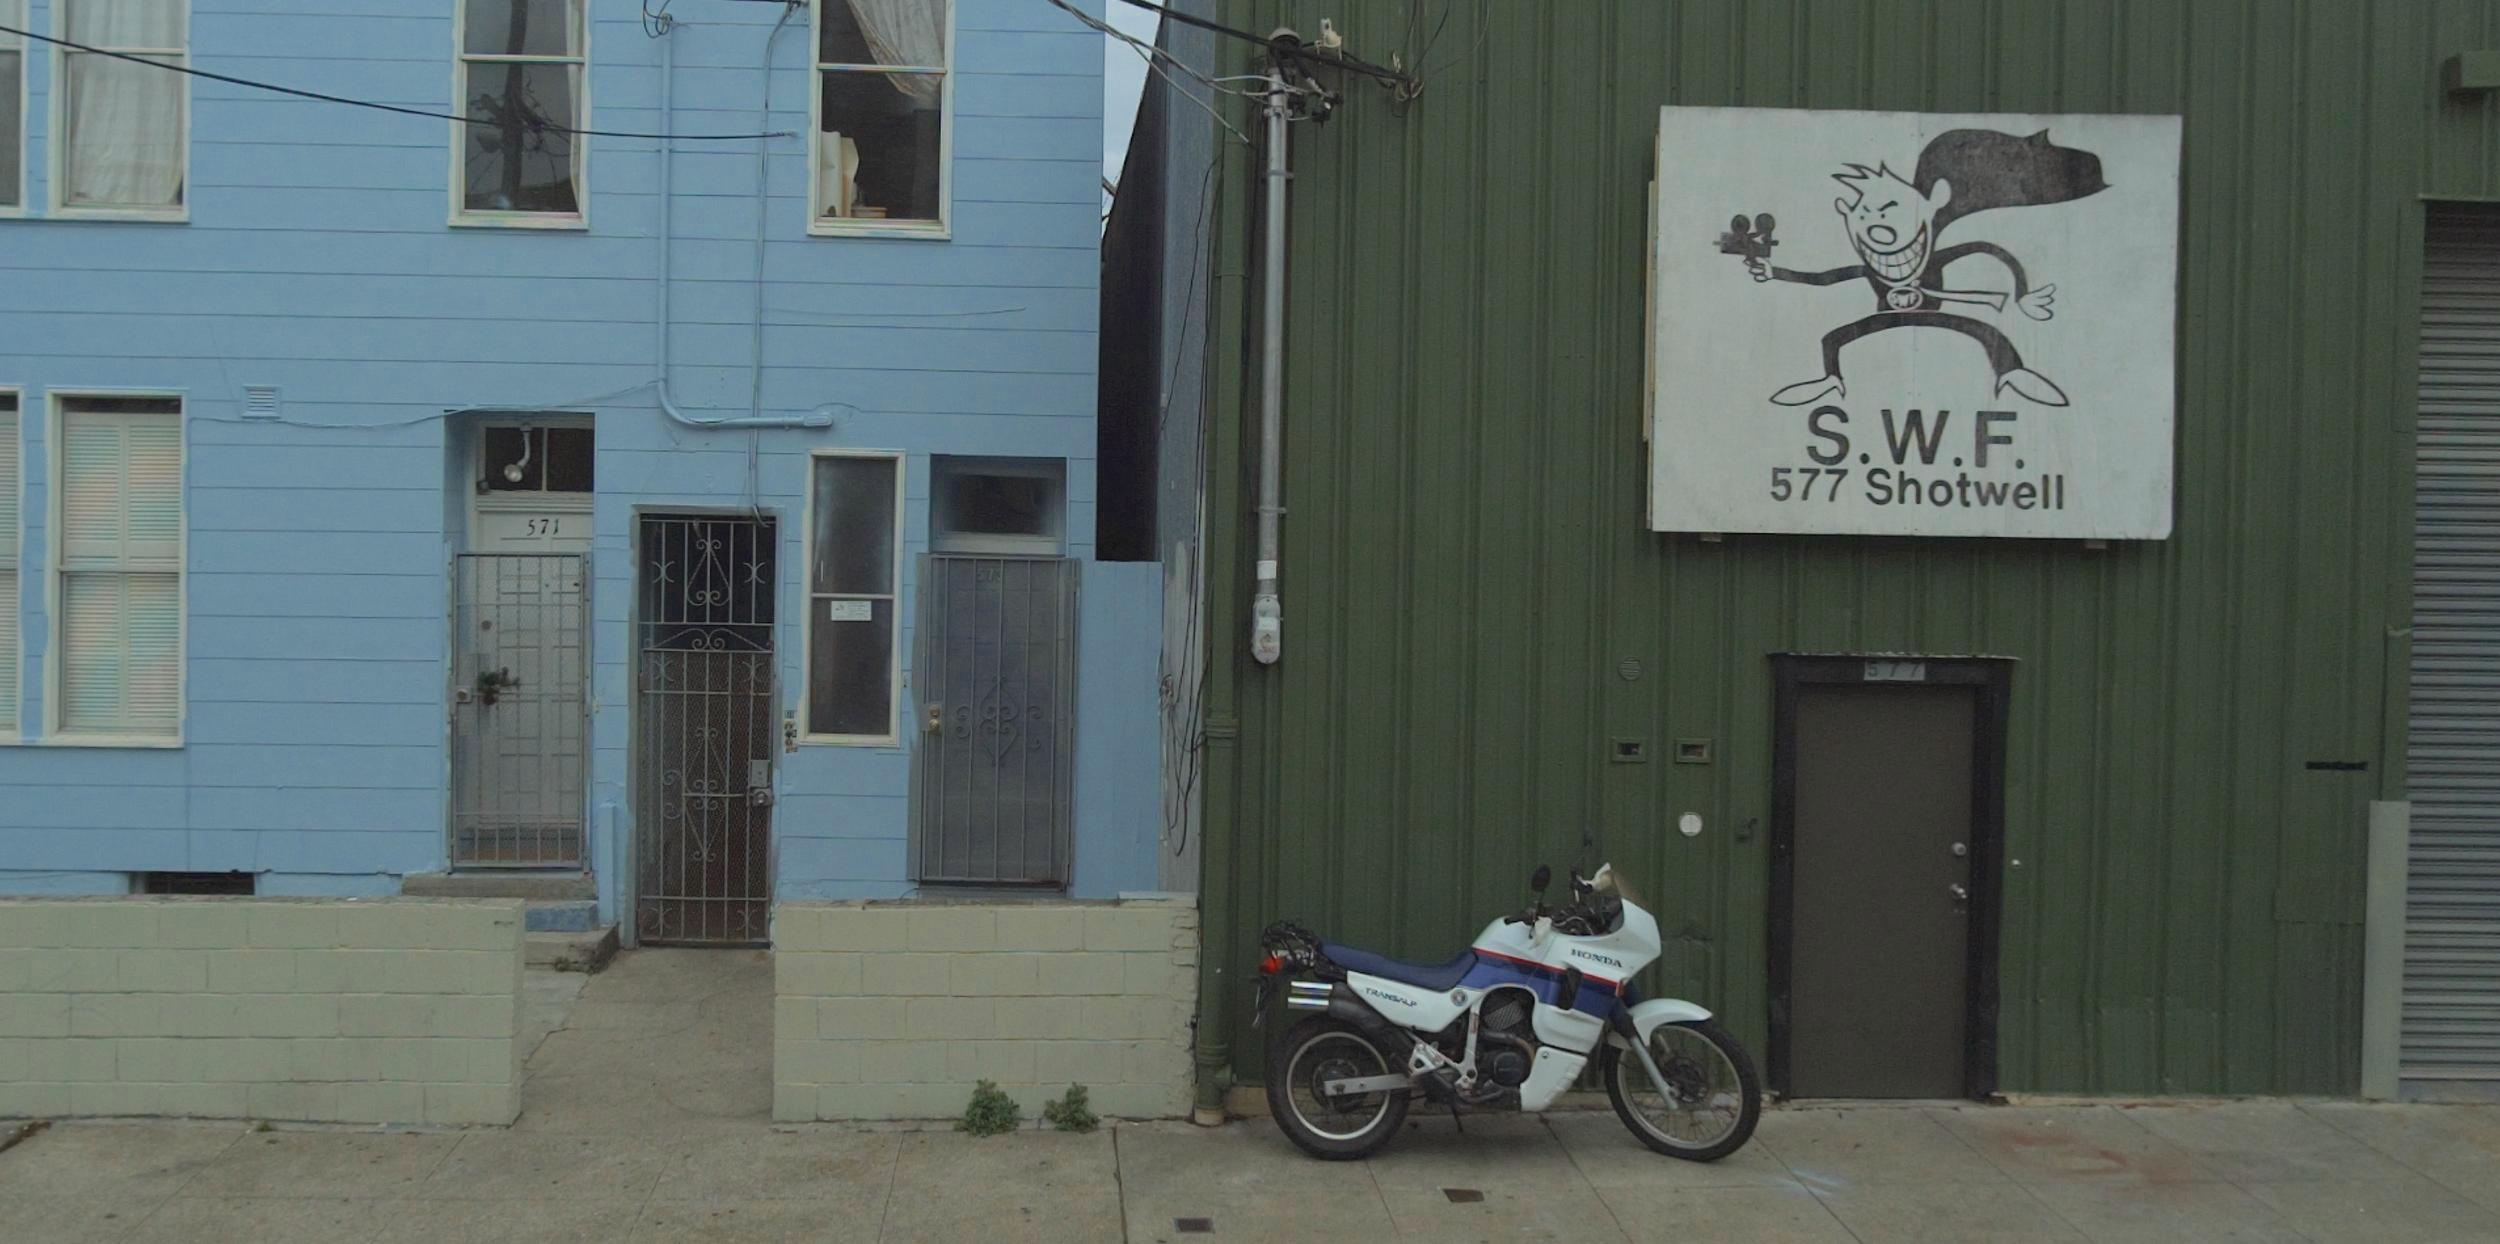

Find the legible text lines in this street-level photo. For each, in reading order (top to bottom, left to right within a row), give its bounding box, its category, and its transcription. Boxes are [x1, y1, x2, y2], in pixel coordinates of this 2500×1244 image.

[1806, 404, 2027, 472] BusinessName: S.W.F.
[1767, 465, 1851, 506] StreetNumber: 577
[1864, 467, 2067, 512] StreetName: Shotwell
[525, 517, 561, 537] StreetNumber: 571
[975, 566, 1004, 583] StreetNumber: 573
[1865, 656, 1924, 681] StreetNumber: 577
[1569, 947, 1624, 969] None: HONDA